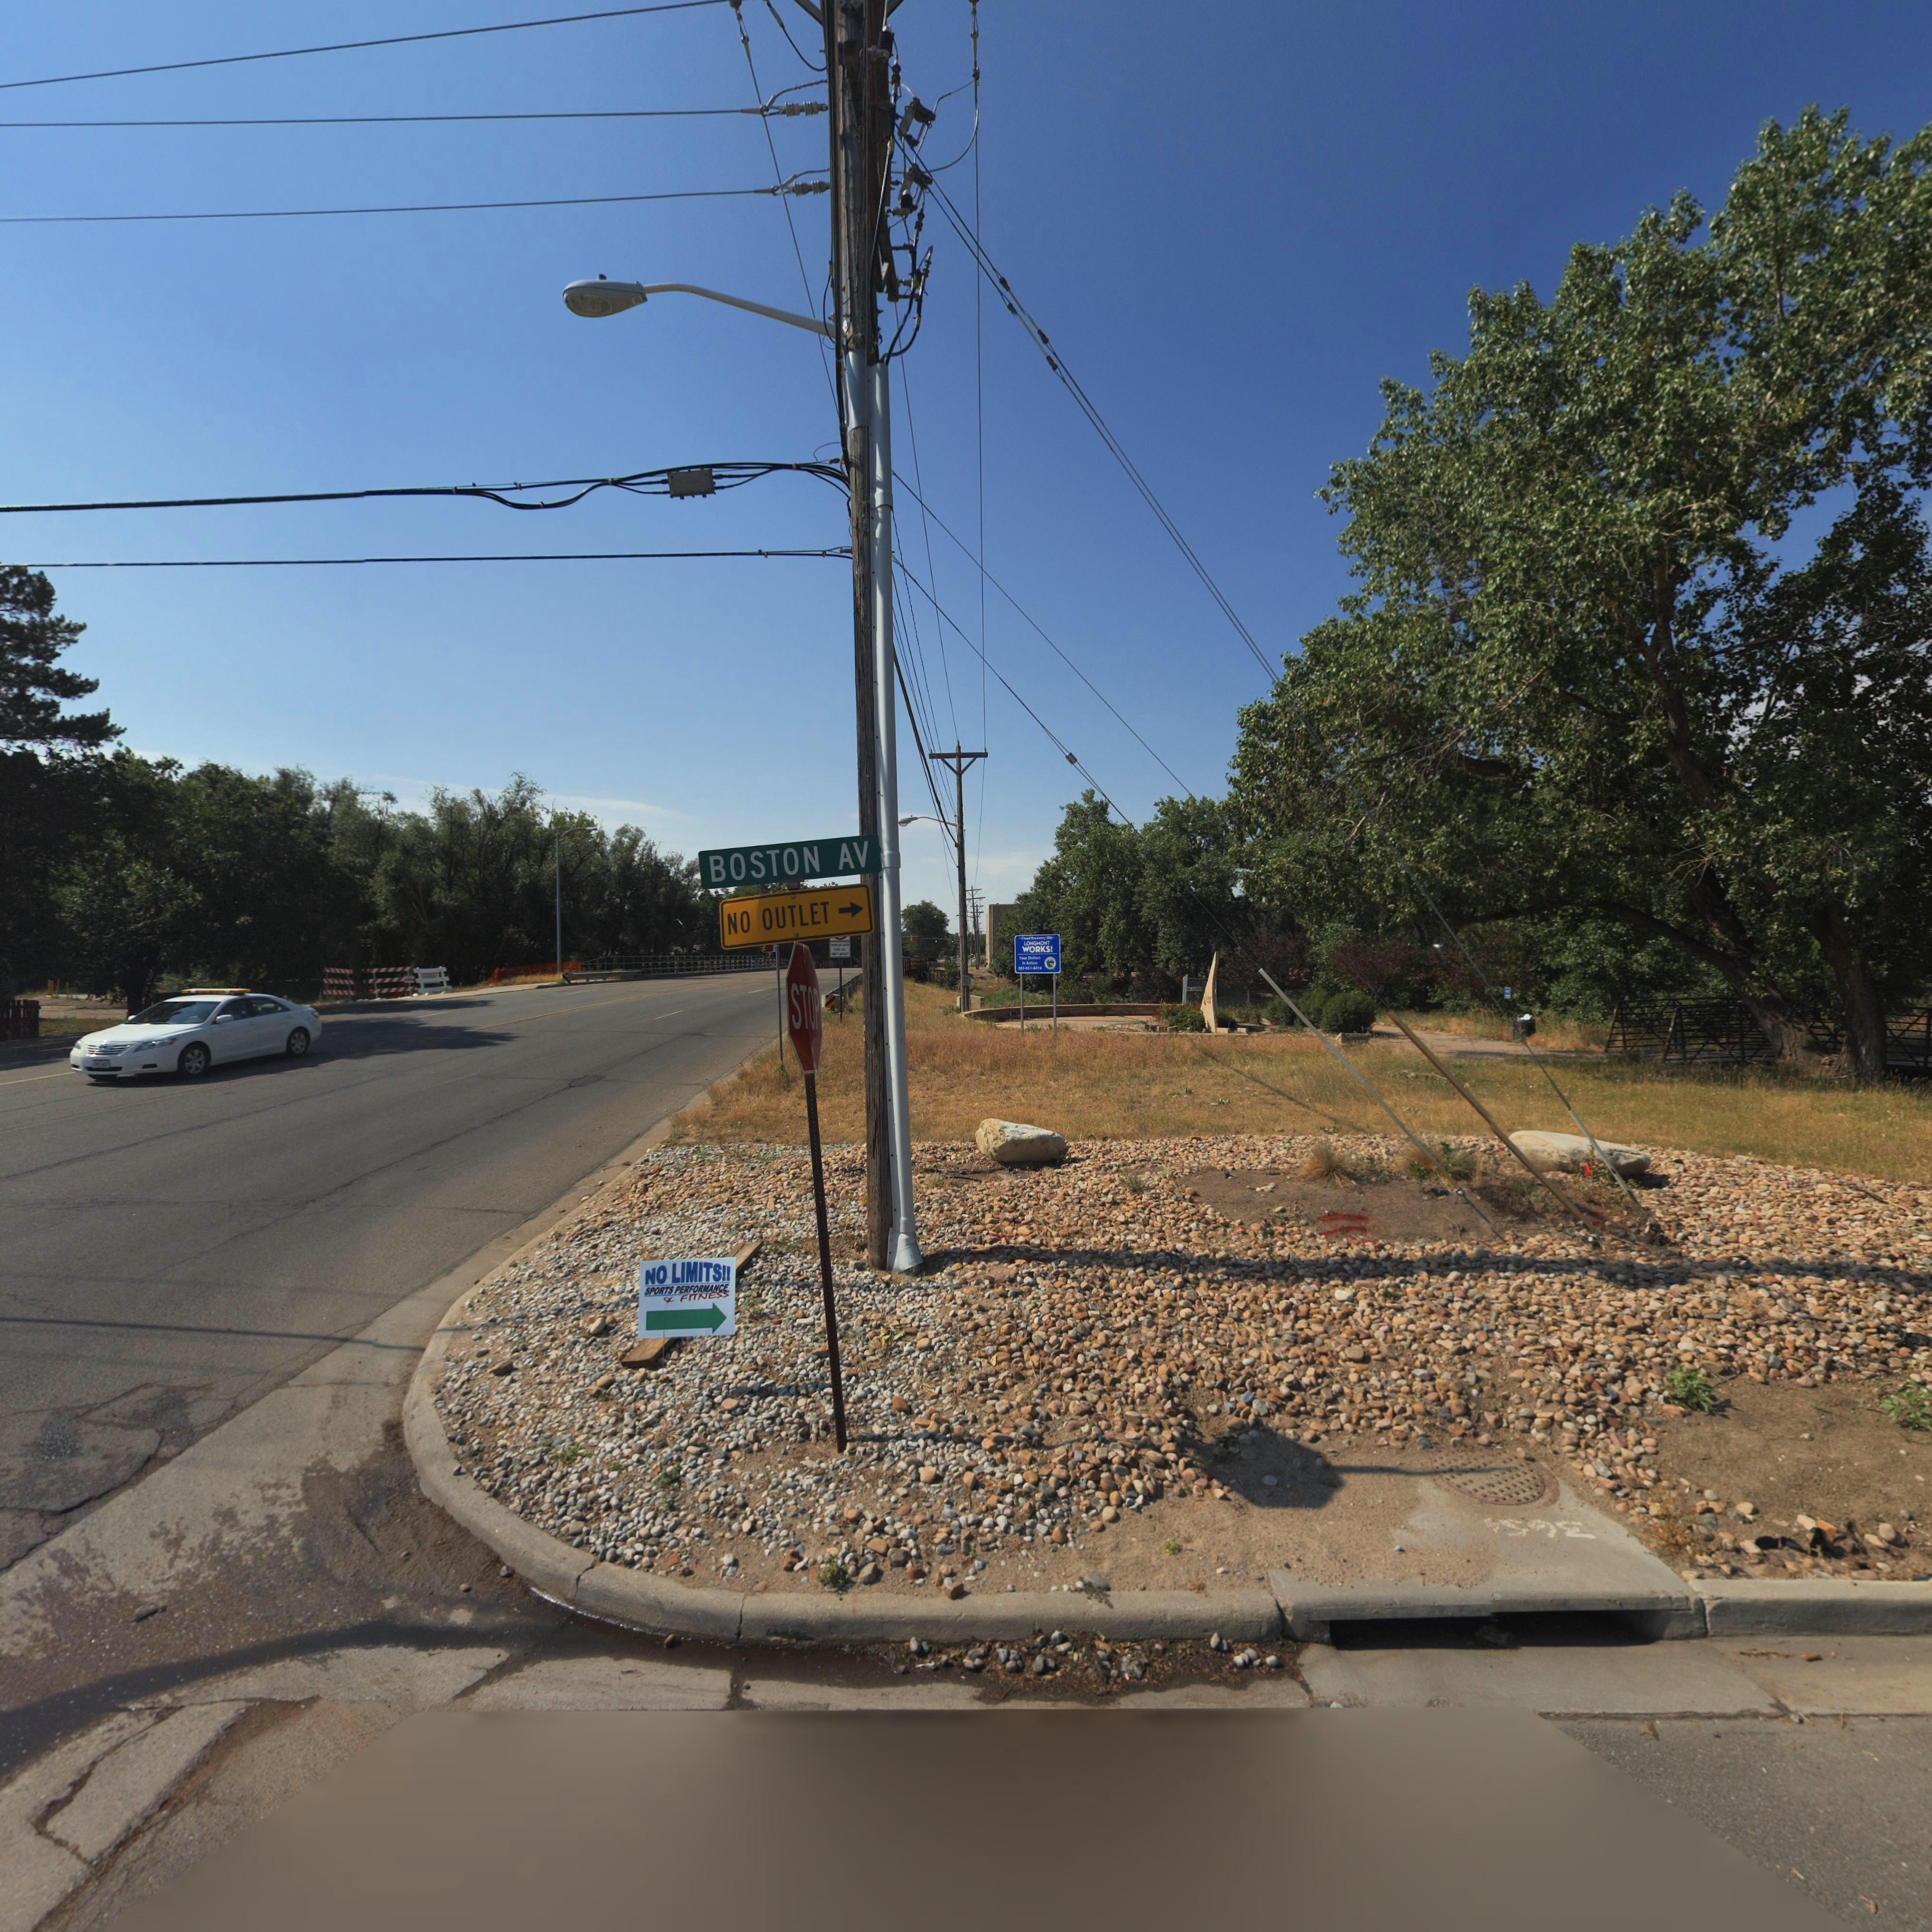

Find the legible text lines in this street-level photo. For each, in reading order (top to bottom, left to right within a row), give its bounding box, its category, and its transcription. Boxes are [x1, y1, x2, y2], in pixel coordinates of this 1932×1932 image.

[708, 840, 869, 884] StreetName: BOSTON AV